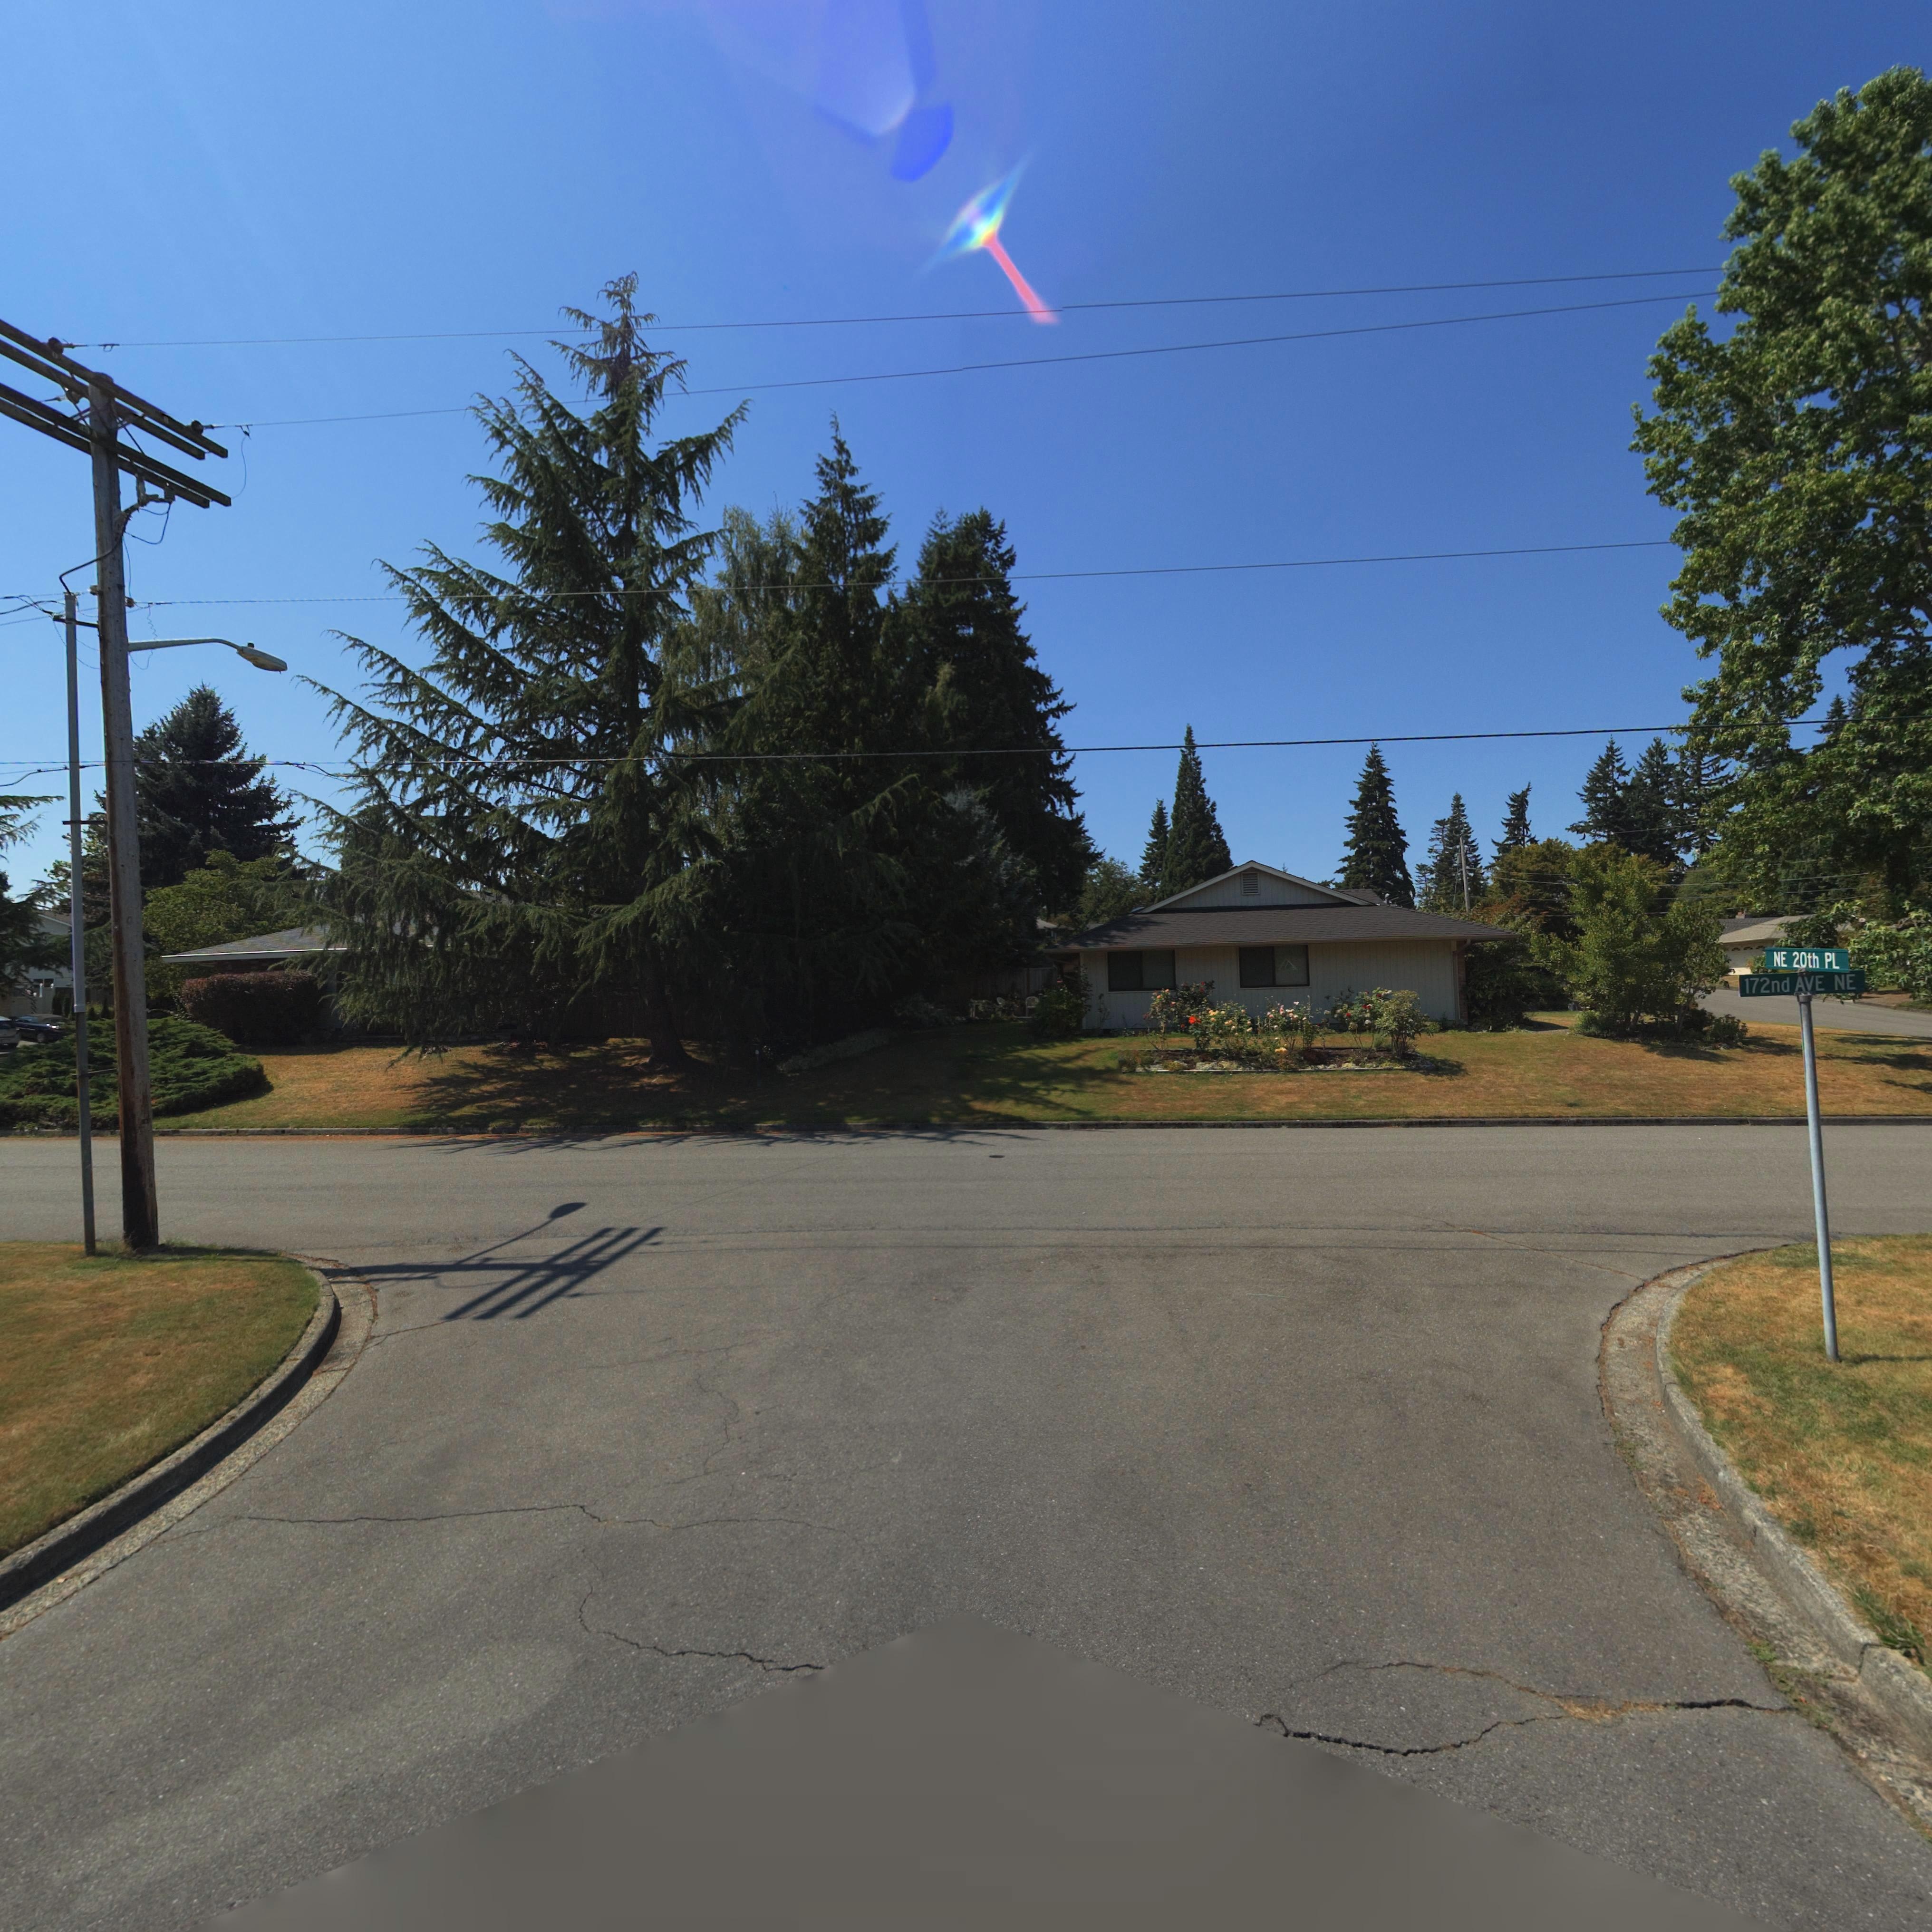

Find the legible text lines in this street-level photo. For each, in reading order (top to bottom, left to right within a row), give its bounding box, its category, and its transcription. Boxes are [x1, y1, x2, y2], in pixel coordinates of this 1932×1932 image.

[1773, 950, 1841, 968] StreetName: NE 20th PL
[1745, 974, 1855, 993] StreetName: 172nd AVE NE